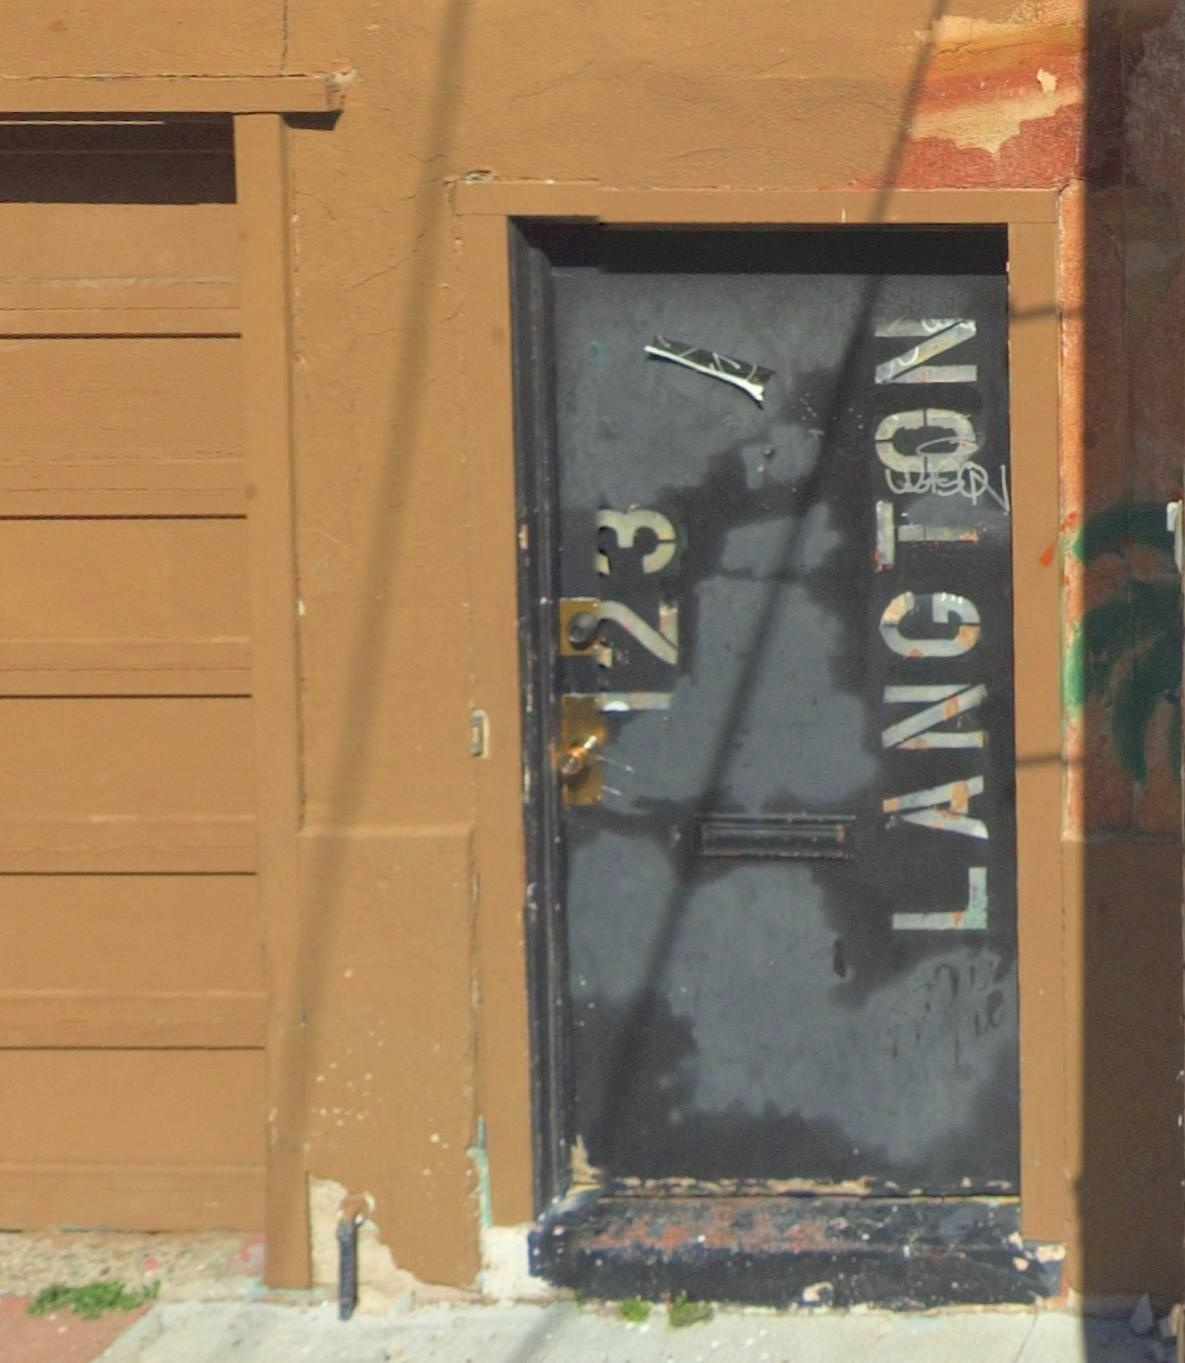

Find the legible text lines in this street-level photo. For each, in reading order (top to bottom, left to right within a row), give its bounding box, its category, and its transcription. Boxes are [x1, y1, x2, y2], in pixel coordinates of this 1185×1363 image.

[590, 504, 683, 719] StreetNumber: 123
[869, 310, 993, 937] None: LANGTON